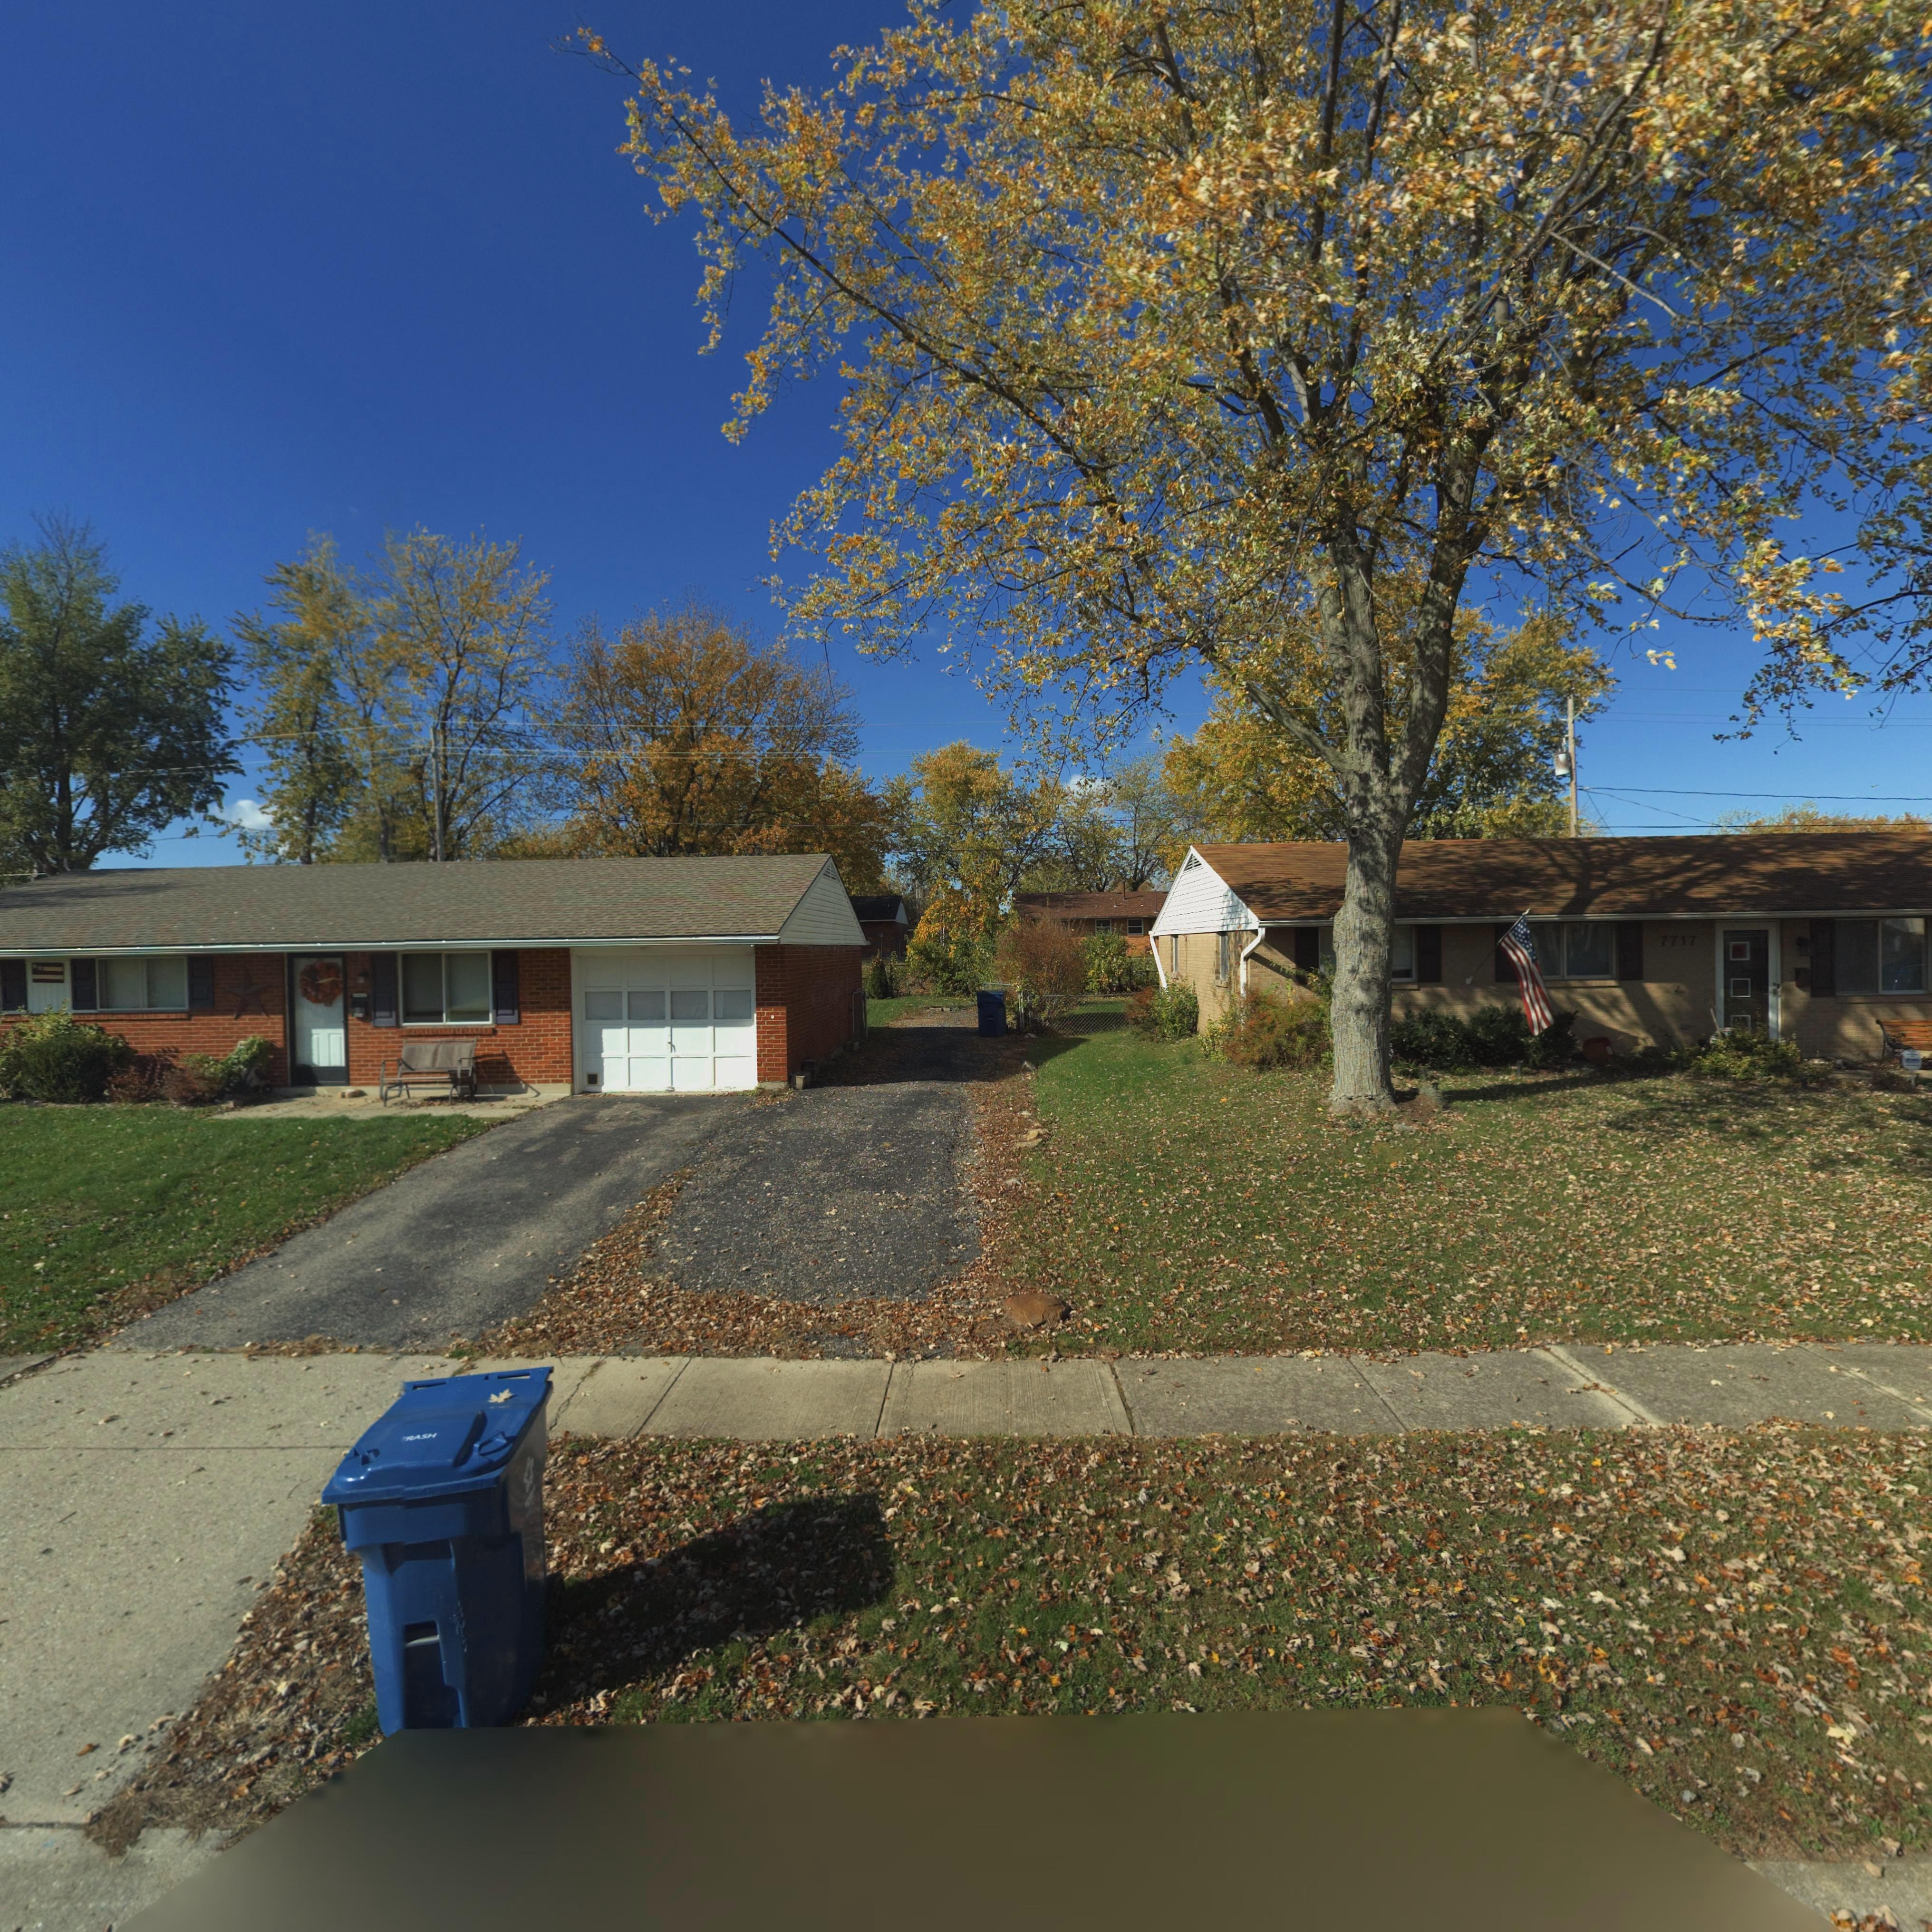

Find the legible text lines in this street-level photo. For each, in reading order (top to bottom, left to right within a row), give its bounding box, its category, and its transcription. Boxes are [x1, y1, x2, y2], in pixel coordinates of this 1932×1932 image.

[1660, 934, 1698, 947] StreetNumber: 7717